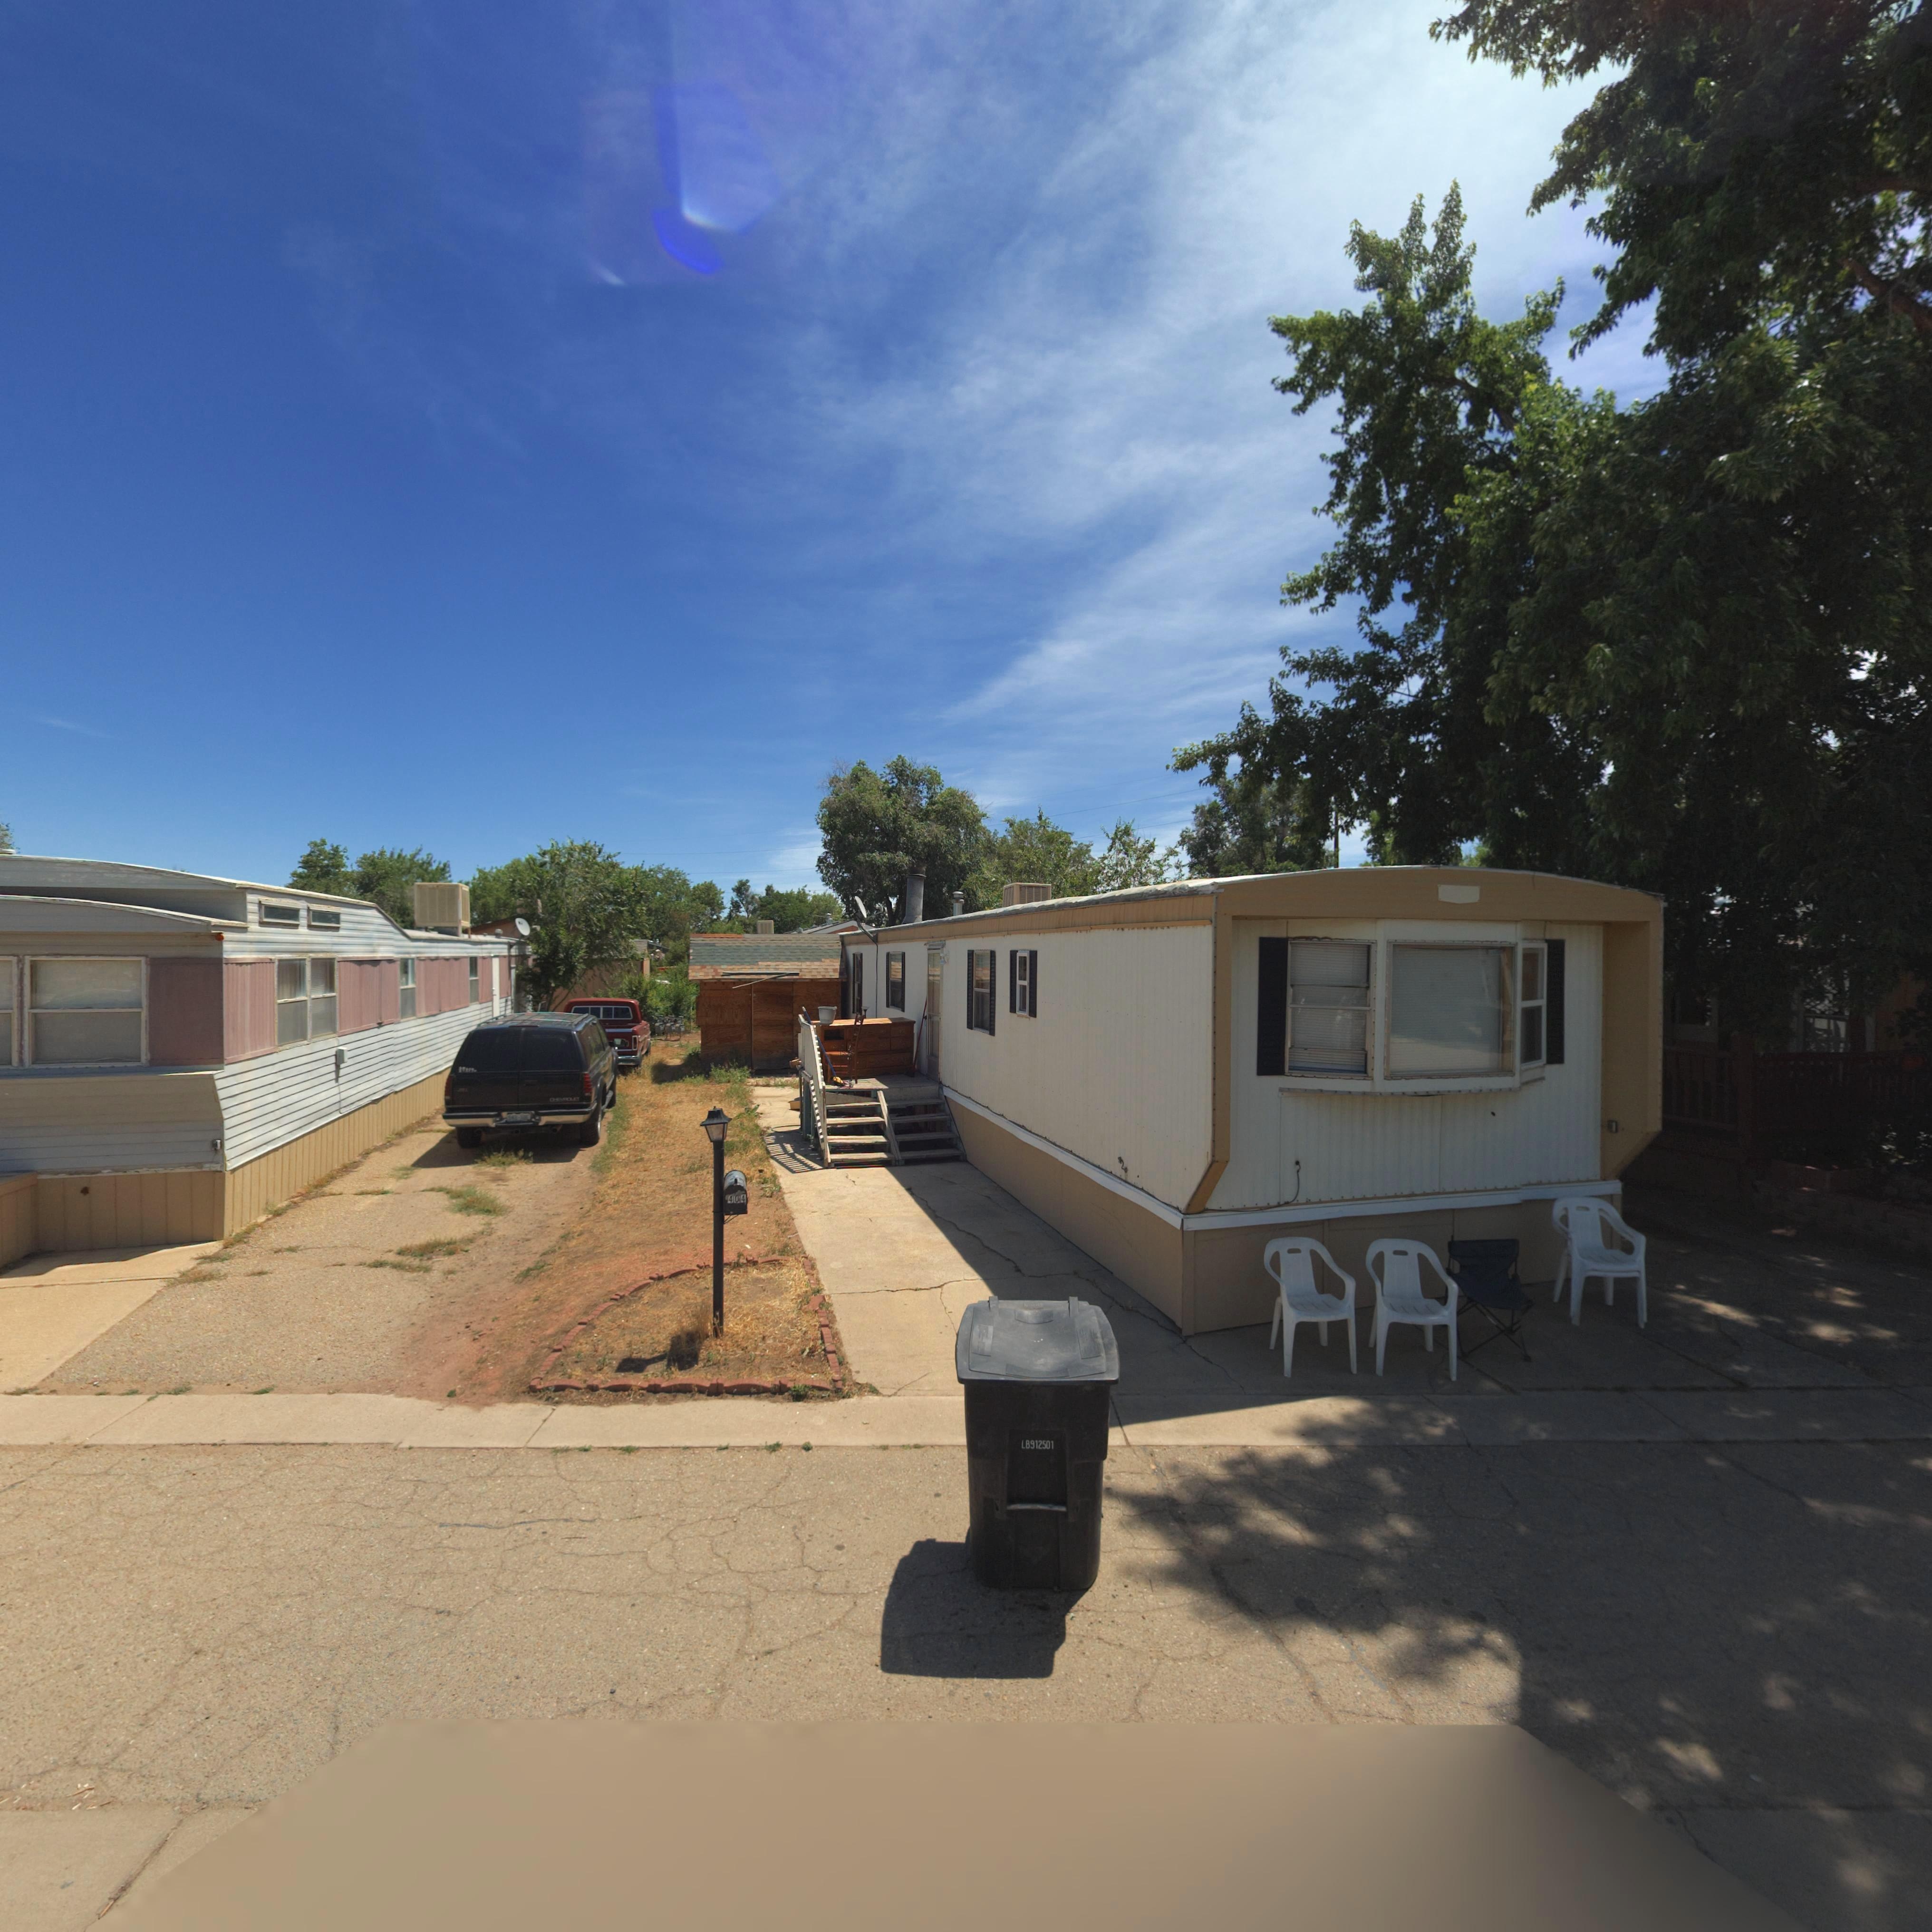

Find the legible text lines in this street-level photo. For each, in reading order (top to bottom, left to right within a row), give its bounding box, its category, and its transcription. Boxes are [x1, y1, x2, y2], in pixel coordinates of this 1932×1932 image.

[728, 1195, 745, 1203] StreetNumber: 404